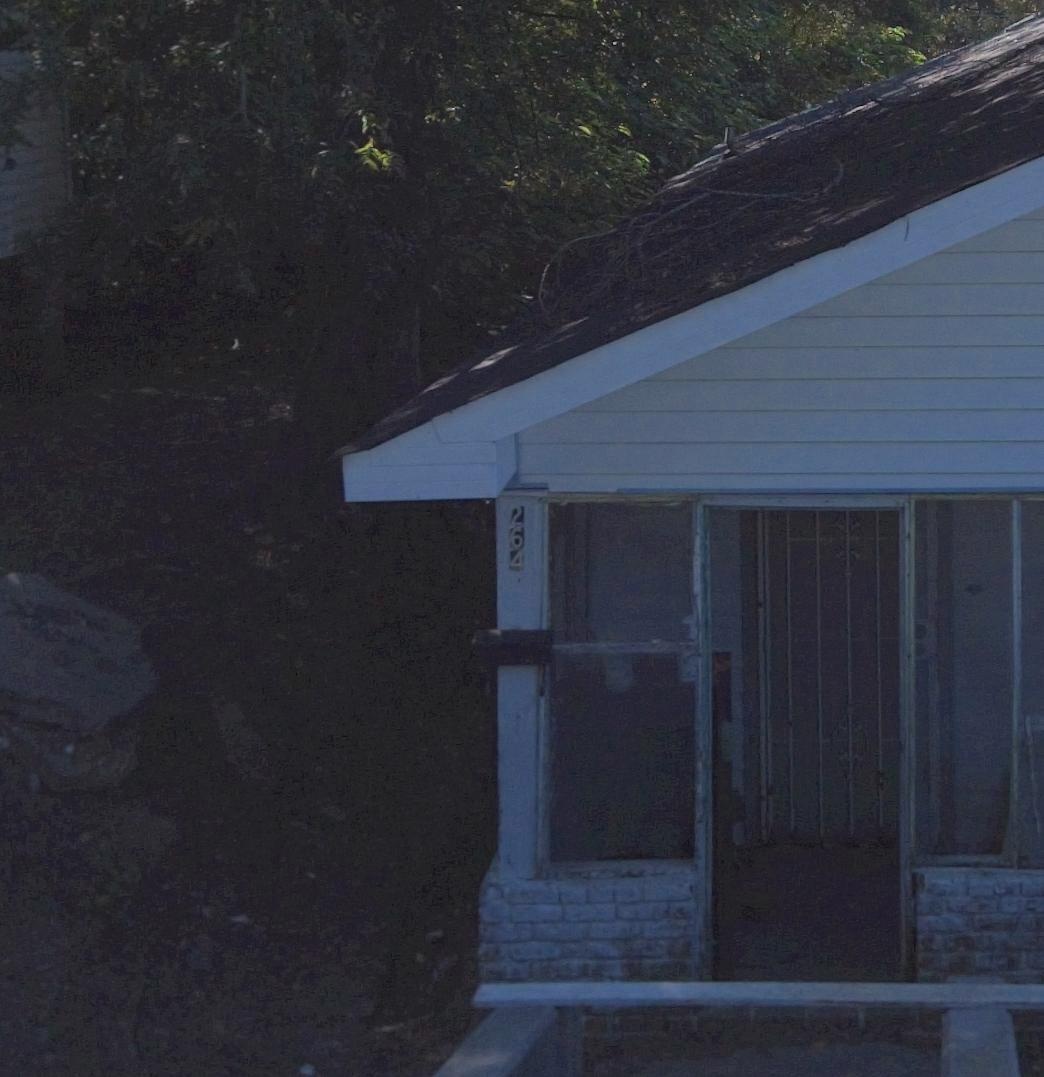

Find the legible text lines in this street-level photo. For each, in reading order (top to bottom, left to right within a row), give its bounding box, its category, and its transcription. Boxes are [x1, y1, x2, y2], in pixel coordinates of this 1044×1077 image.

[506, 502, 528, 579] StreetNumber: 264